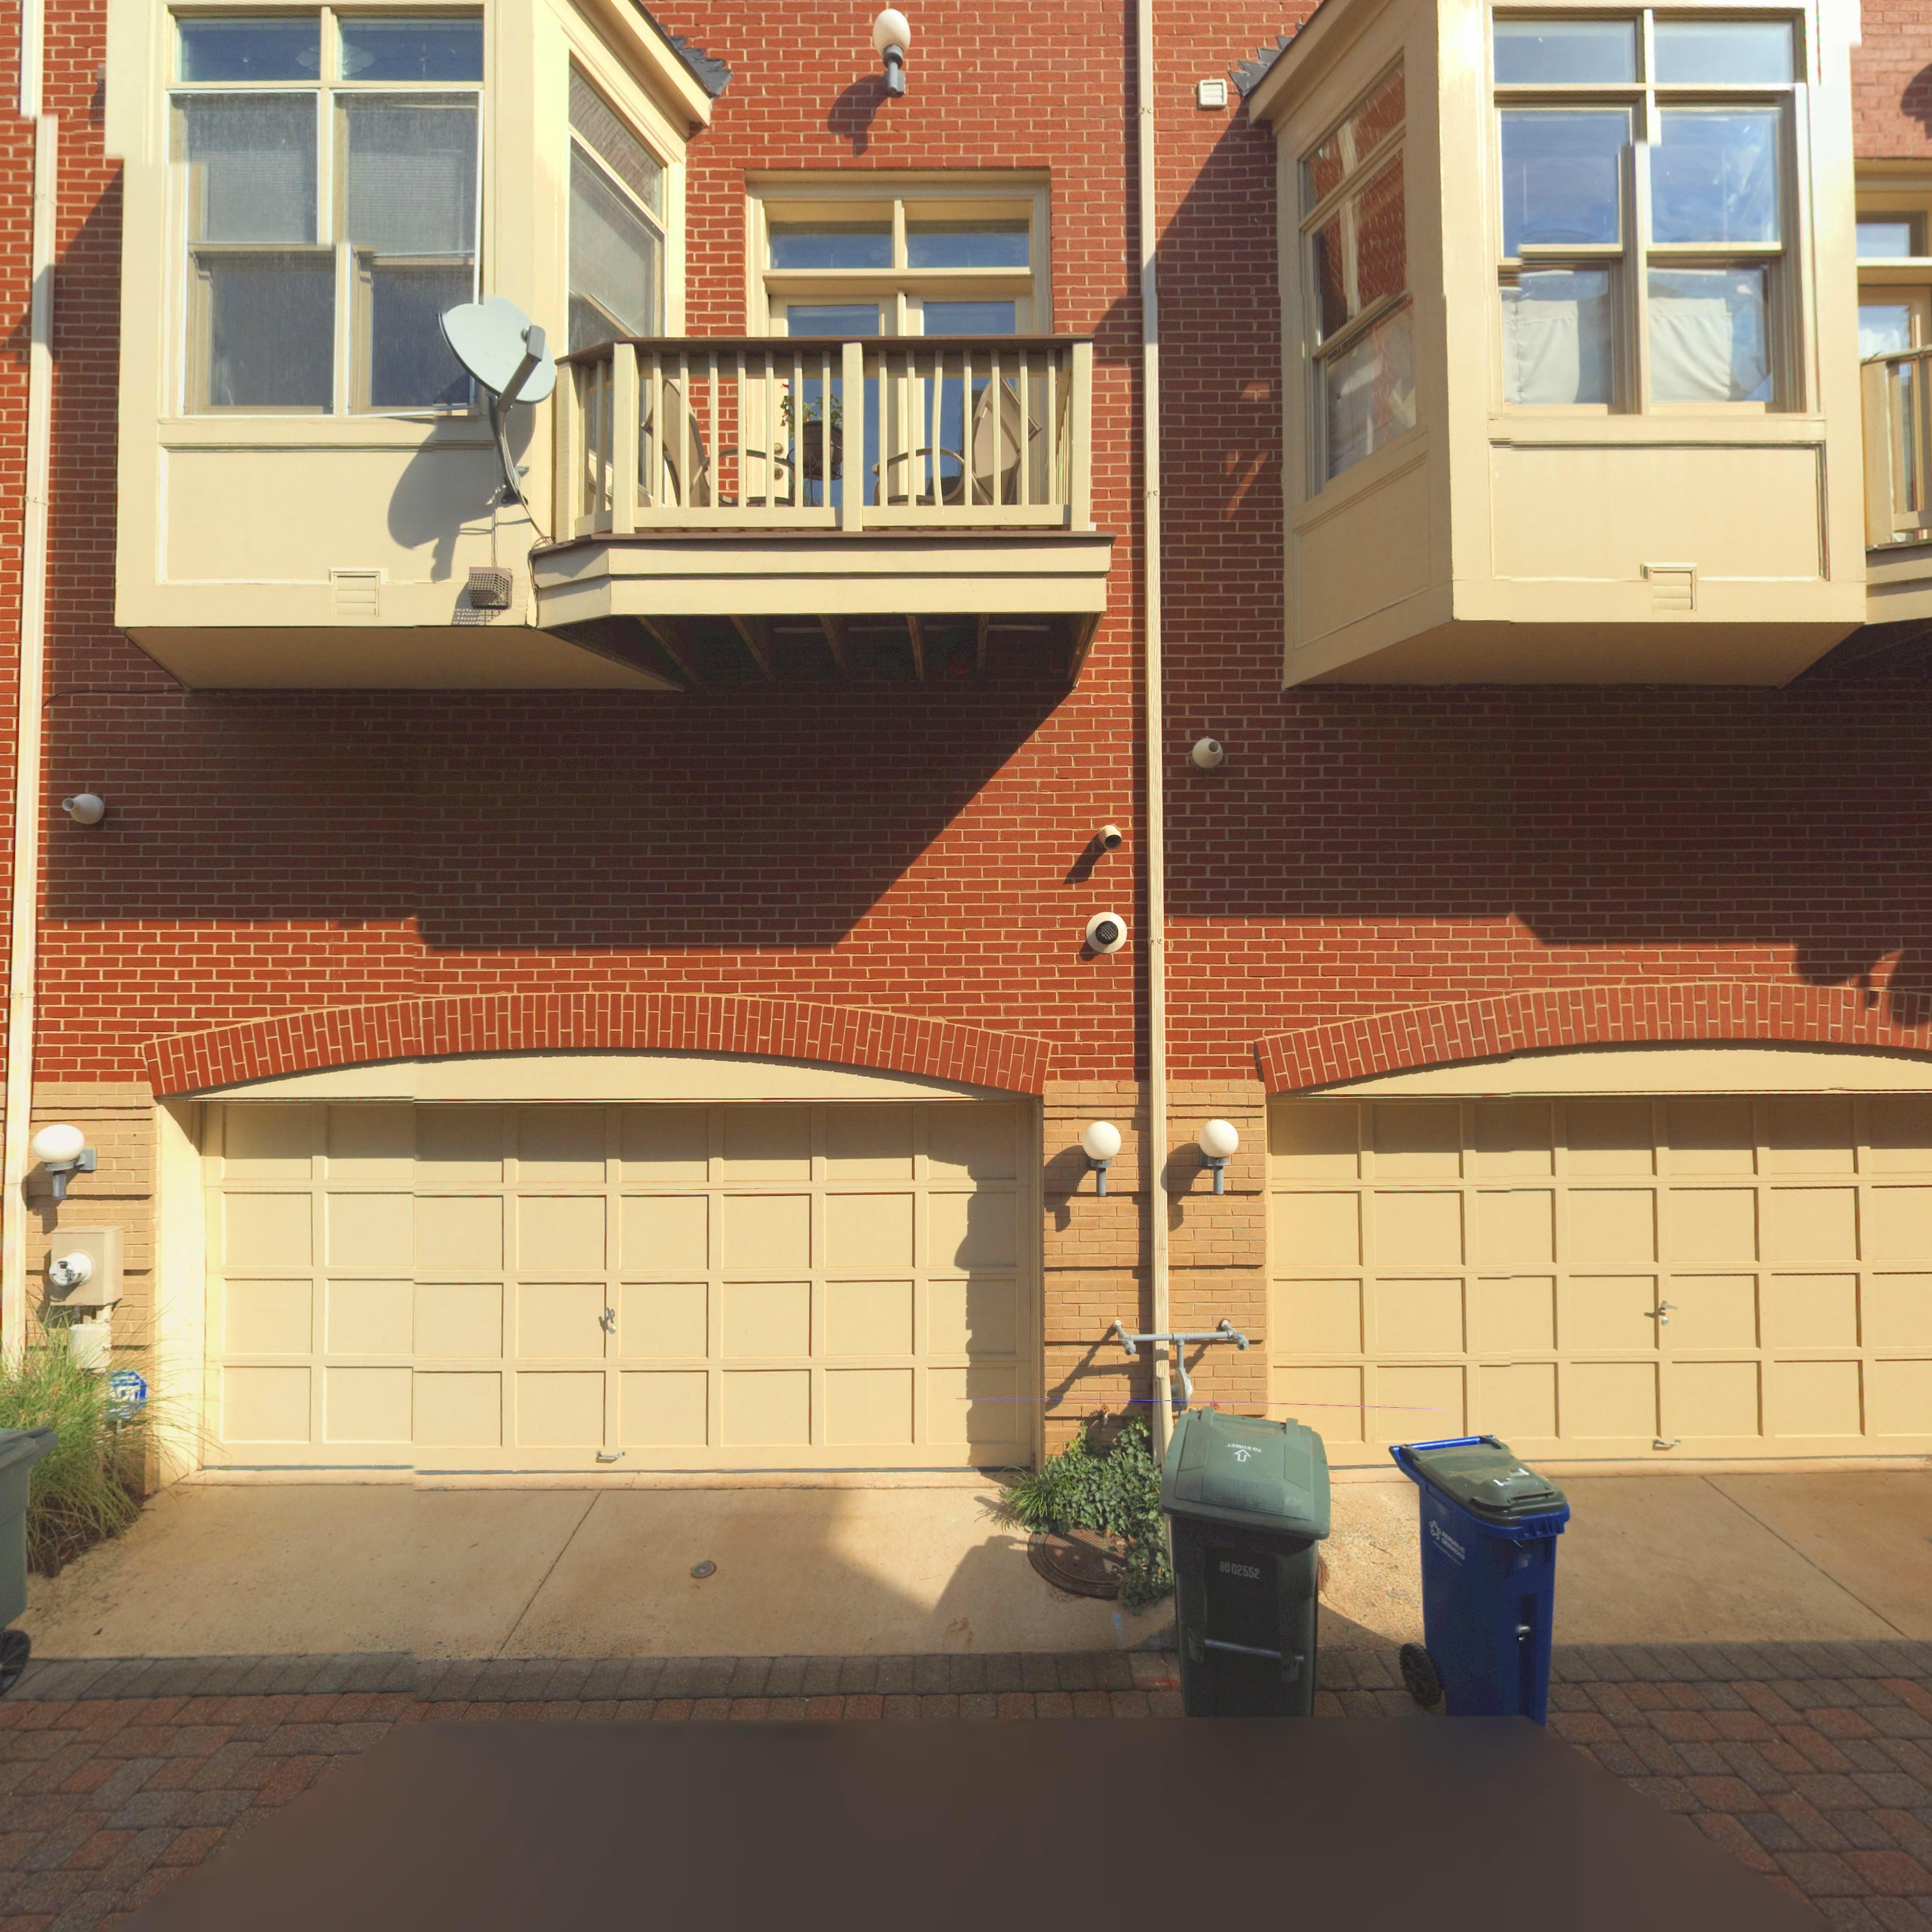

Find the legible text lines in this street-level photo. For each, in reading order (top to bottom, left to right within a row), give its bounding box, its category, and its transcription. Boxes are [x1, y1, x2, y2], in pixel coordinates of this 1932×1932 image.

[115, 1385, 140, 1403] None: DT
[1441, 1530, 1466, 1555] None: REPUBLIC
[1219, 1560, 1261, 1581] None: 8002552